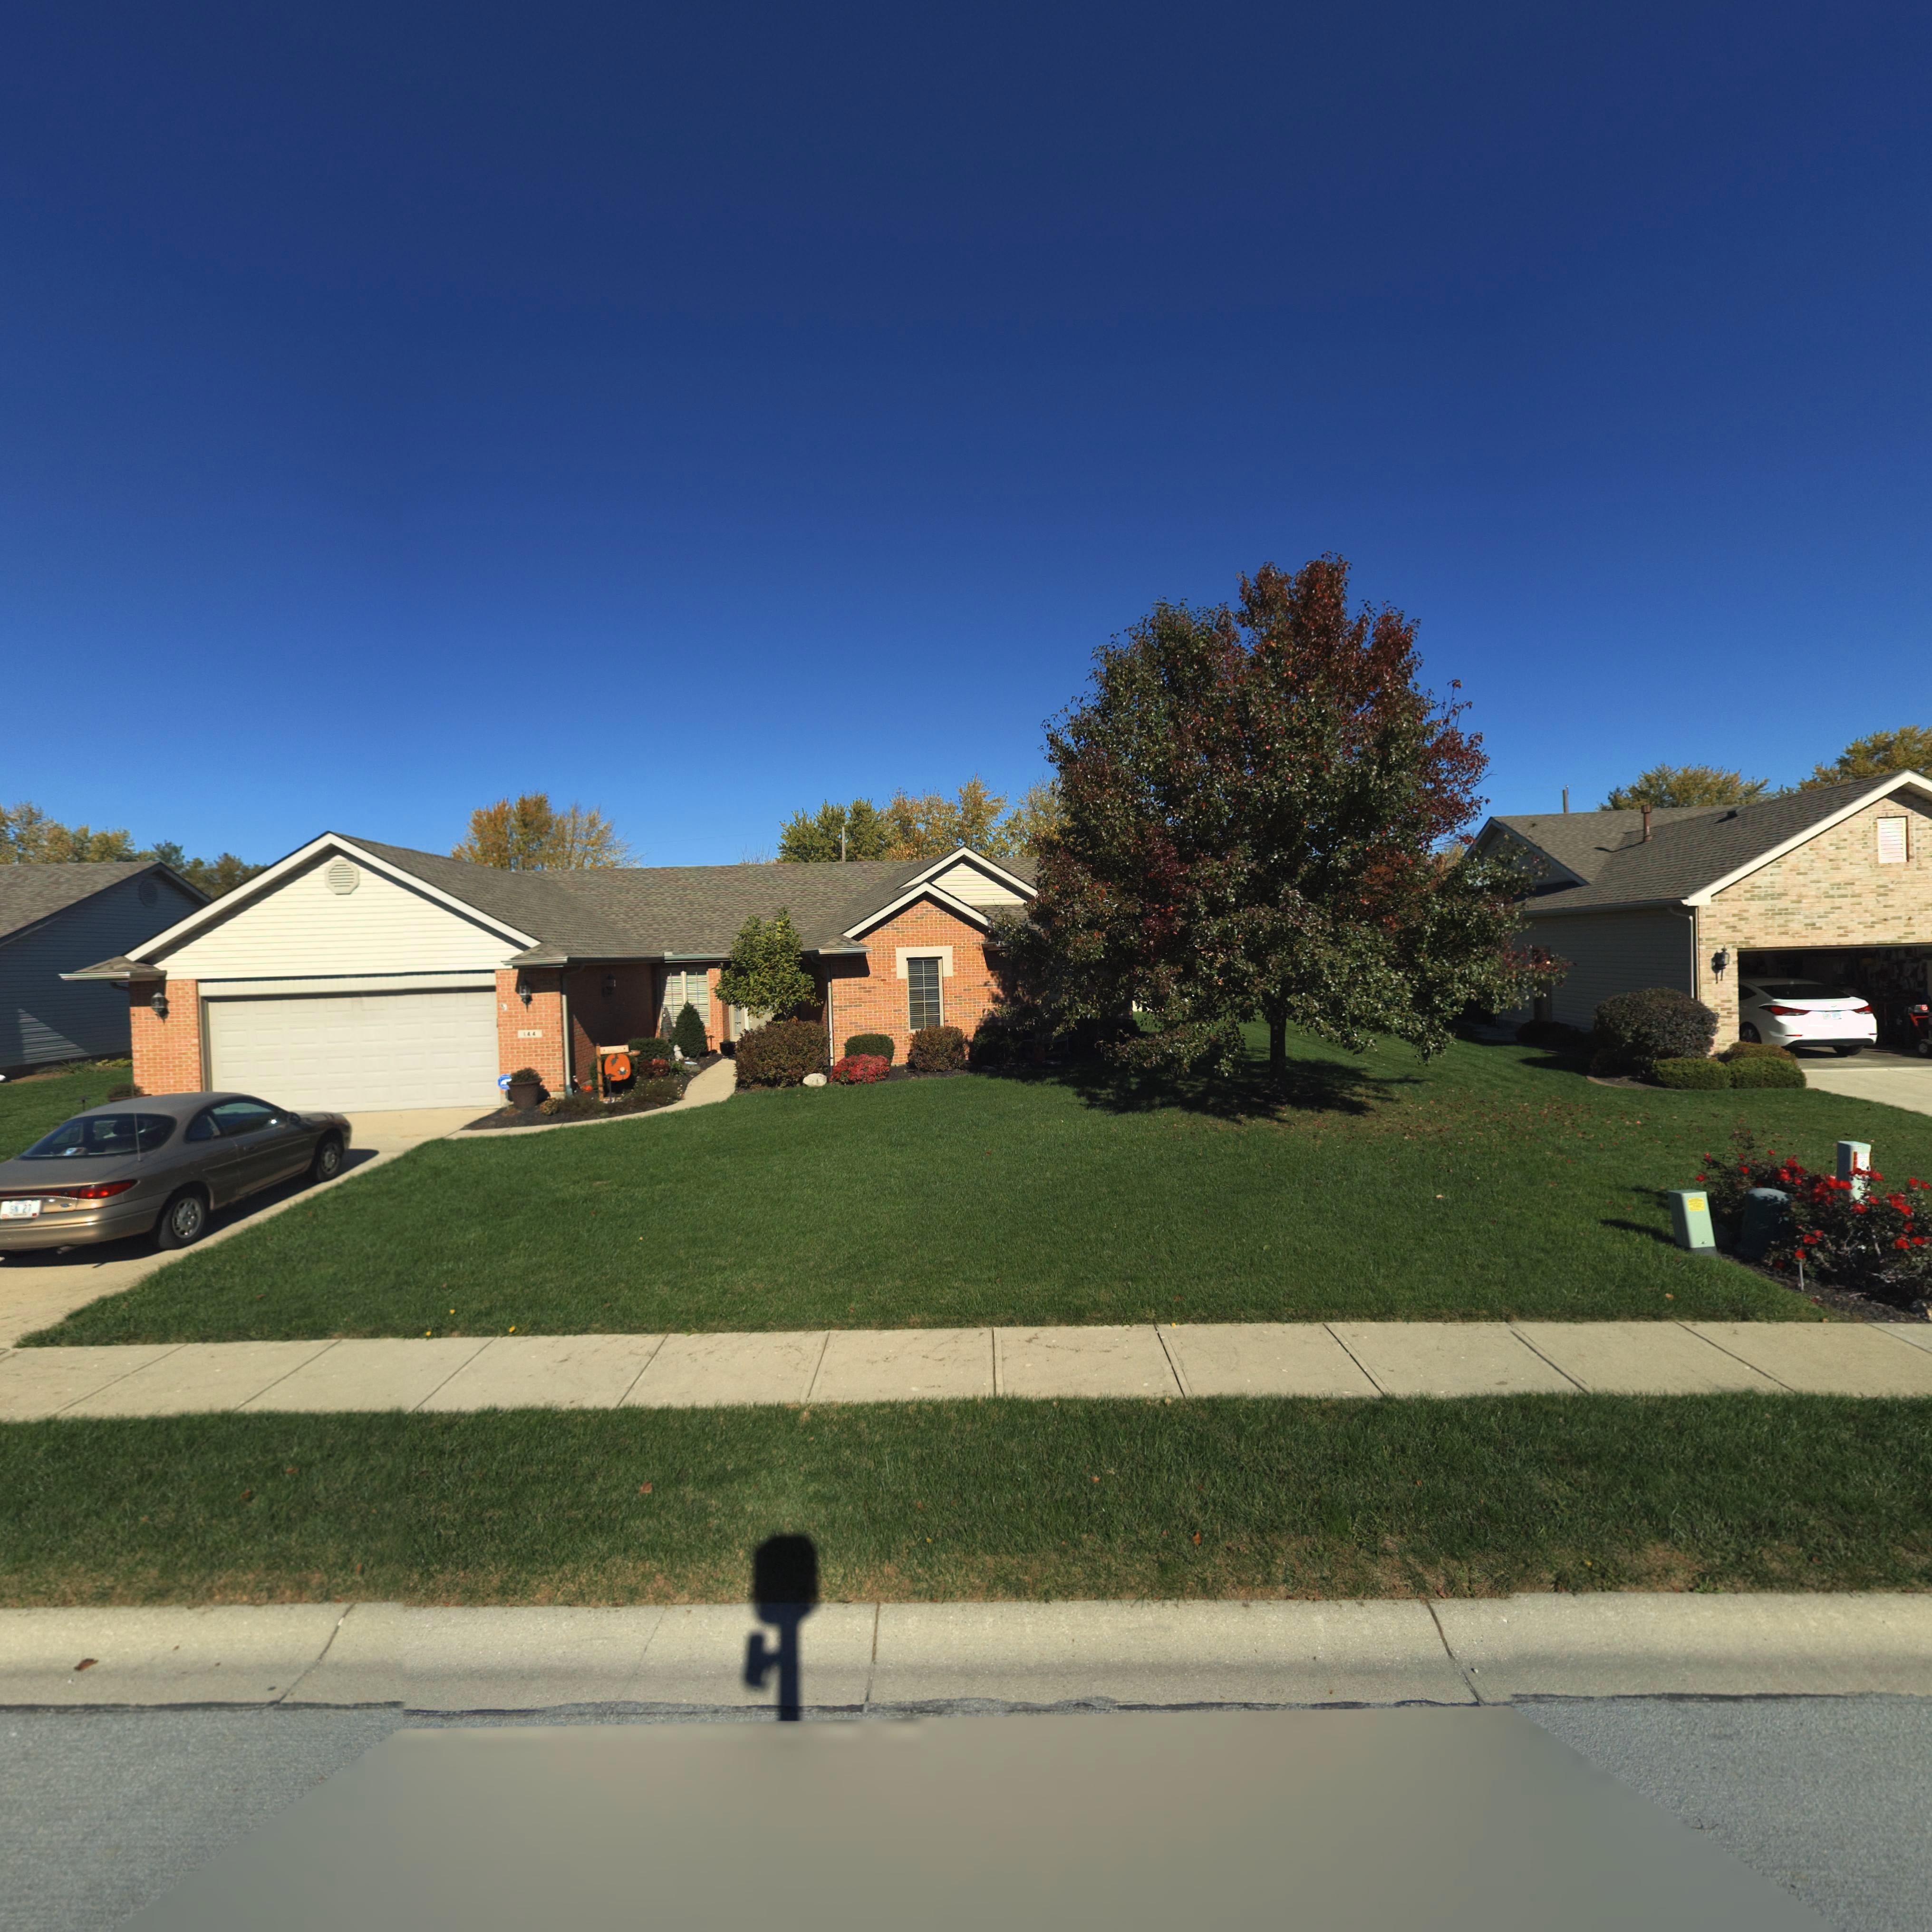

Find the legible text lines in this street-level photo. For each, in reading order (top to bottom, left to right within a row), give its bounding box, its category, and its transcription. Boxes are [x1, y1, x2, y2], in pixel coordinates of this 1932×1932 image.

[522, 1031, 536, 1036] StreetNumber: 144